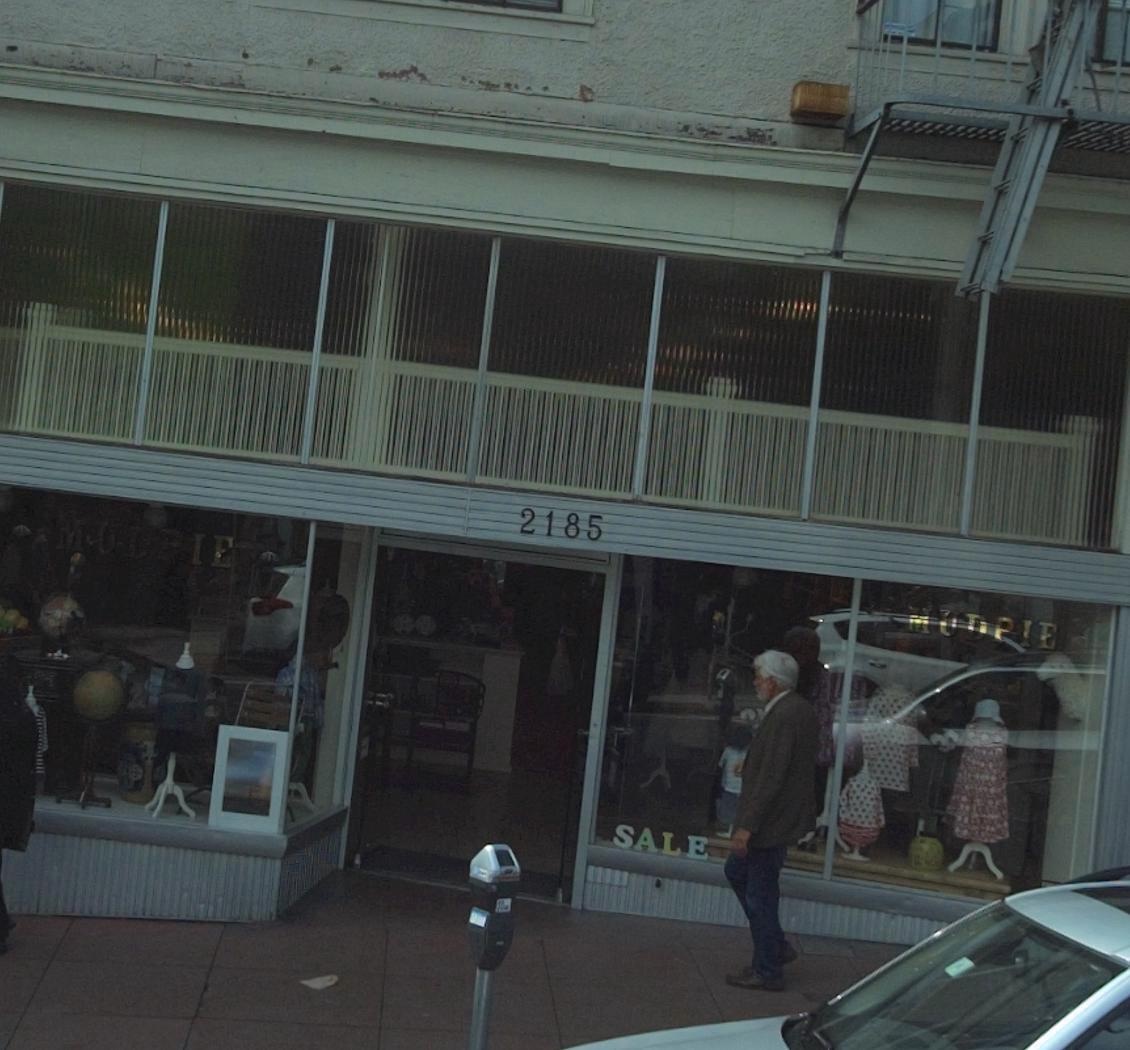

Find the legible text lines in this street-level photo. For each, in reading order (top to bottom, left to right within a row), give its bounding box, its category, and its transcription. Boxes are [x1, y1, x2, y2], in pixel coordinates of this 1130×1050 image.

[514, 503, 609, 545] StreetNumber: 2185
[185, 528, 237, 572] BusinessName: IE
[903, 600, 1060, 654] BusinessName: MUDPIE
[609, 821, 711, 864] None: SALE